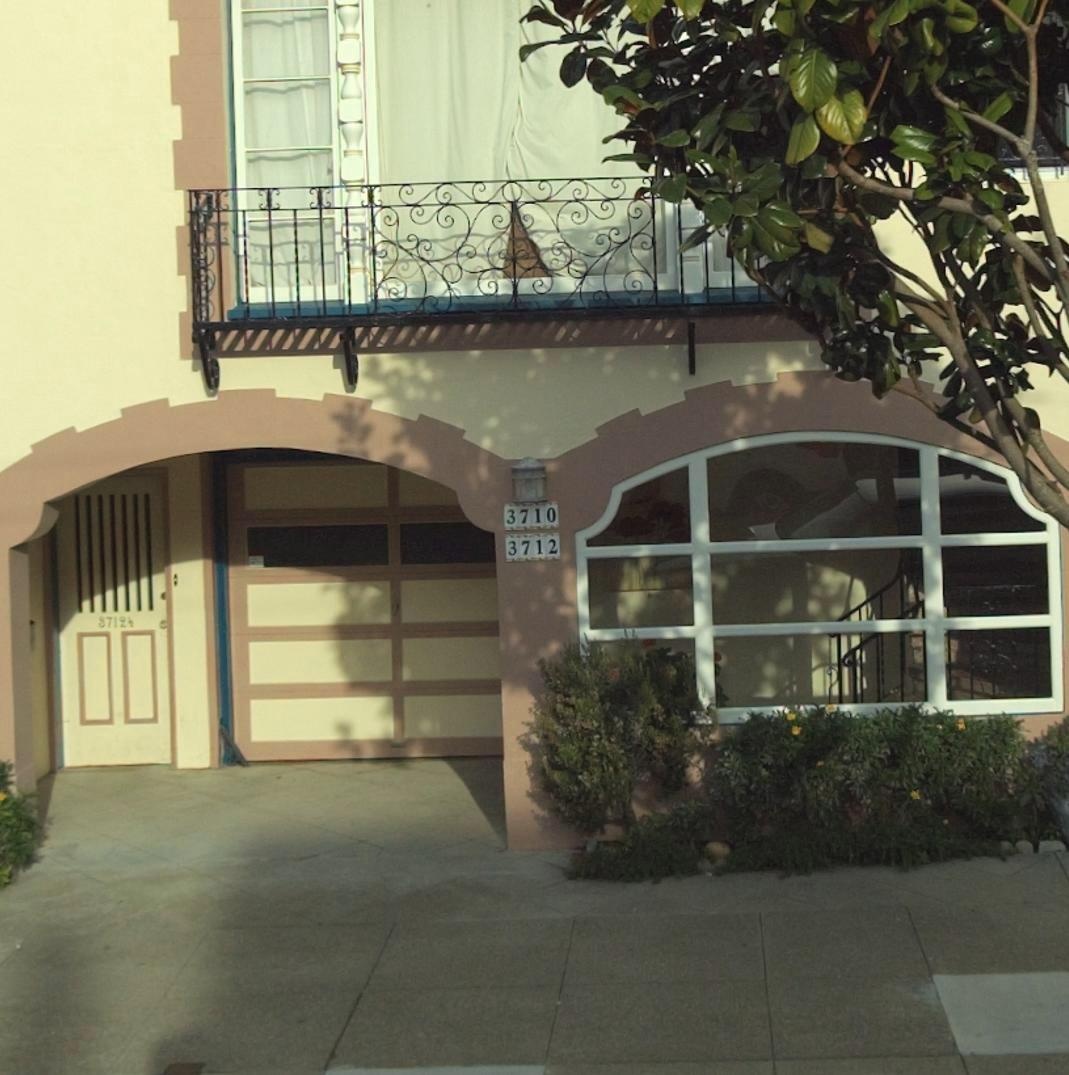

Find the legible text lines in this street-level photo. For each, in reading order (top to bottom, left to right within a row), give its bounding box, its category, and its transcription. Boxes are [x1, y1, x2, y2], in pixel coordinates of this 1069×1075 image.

[504, 505, 559, 527] StreetNumber: 3710
[505, 537, 560, 558] StreetNumber: 3712
[96, 614, 137, 631] StreetNumber: *712*